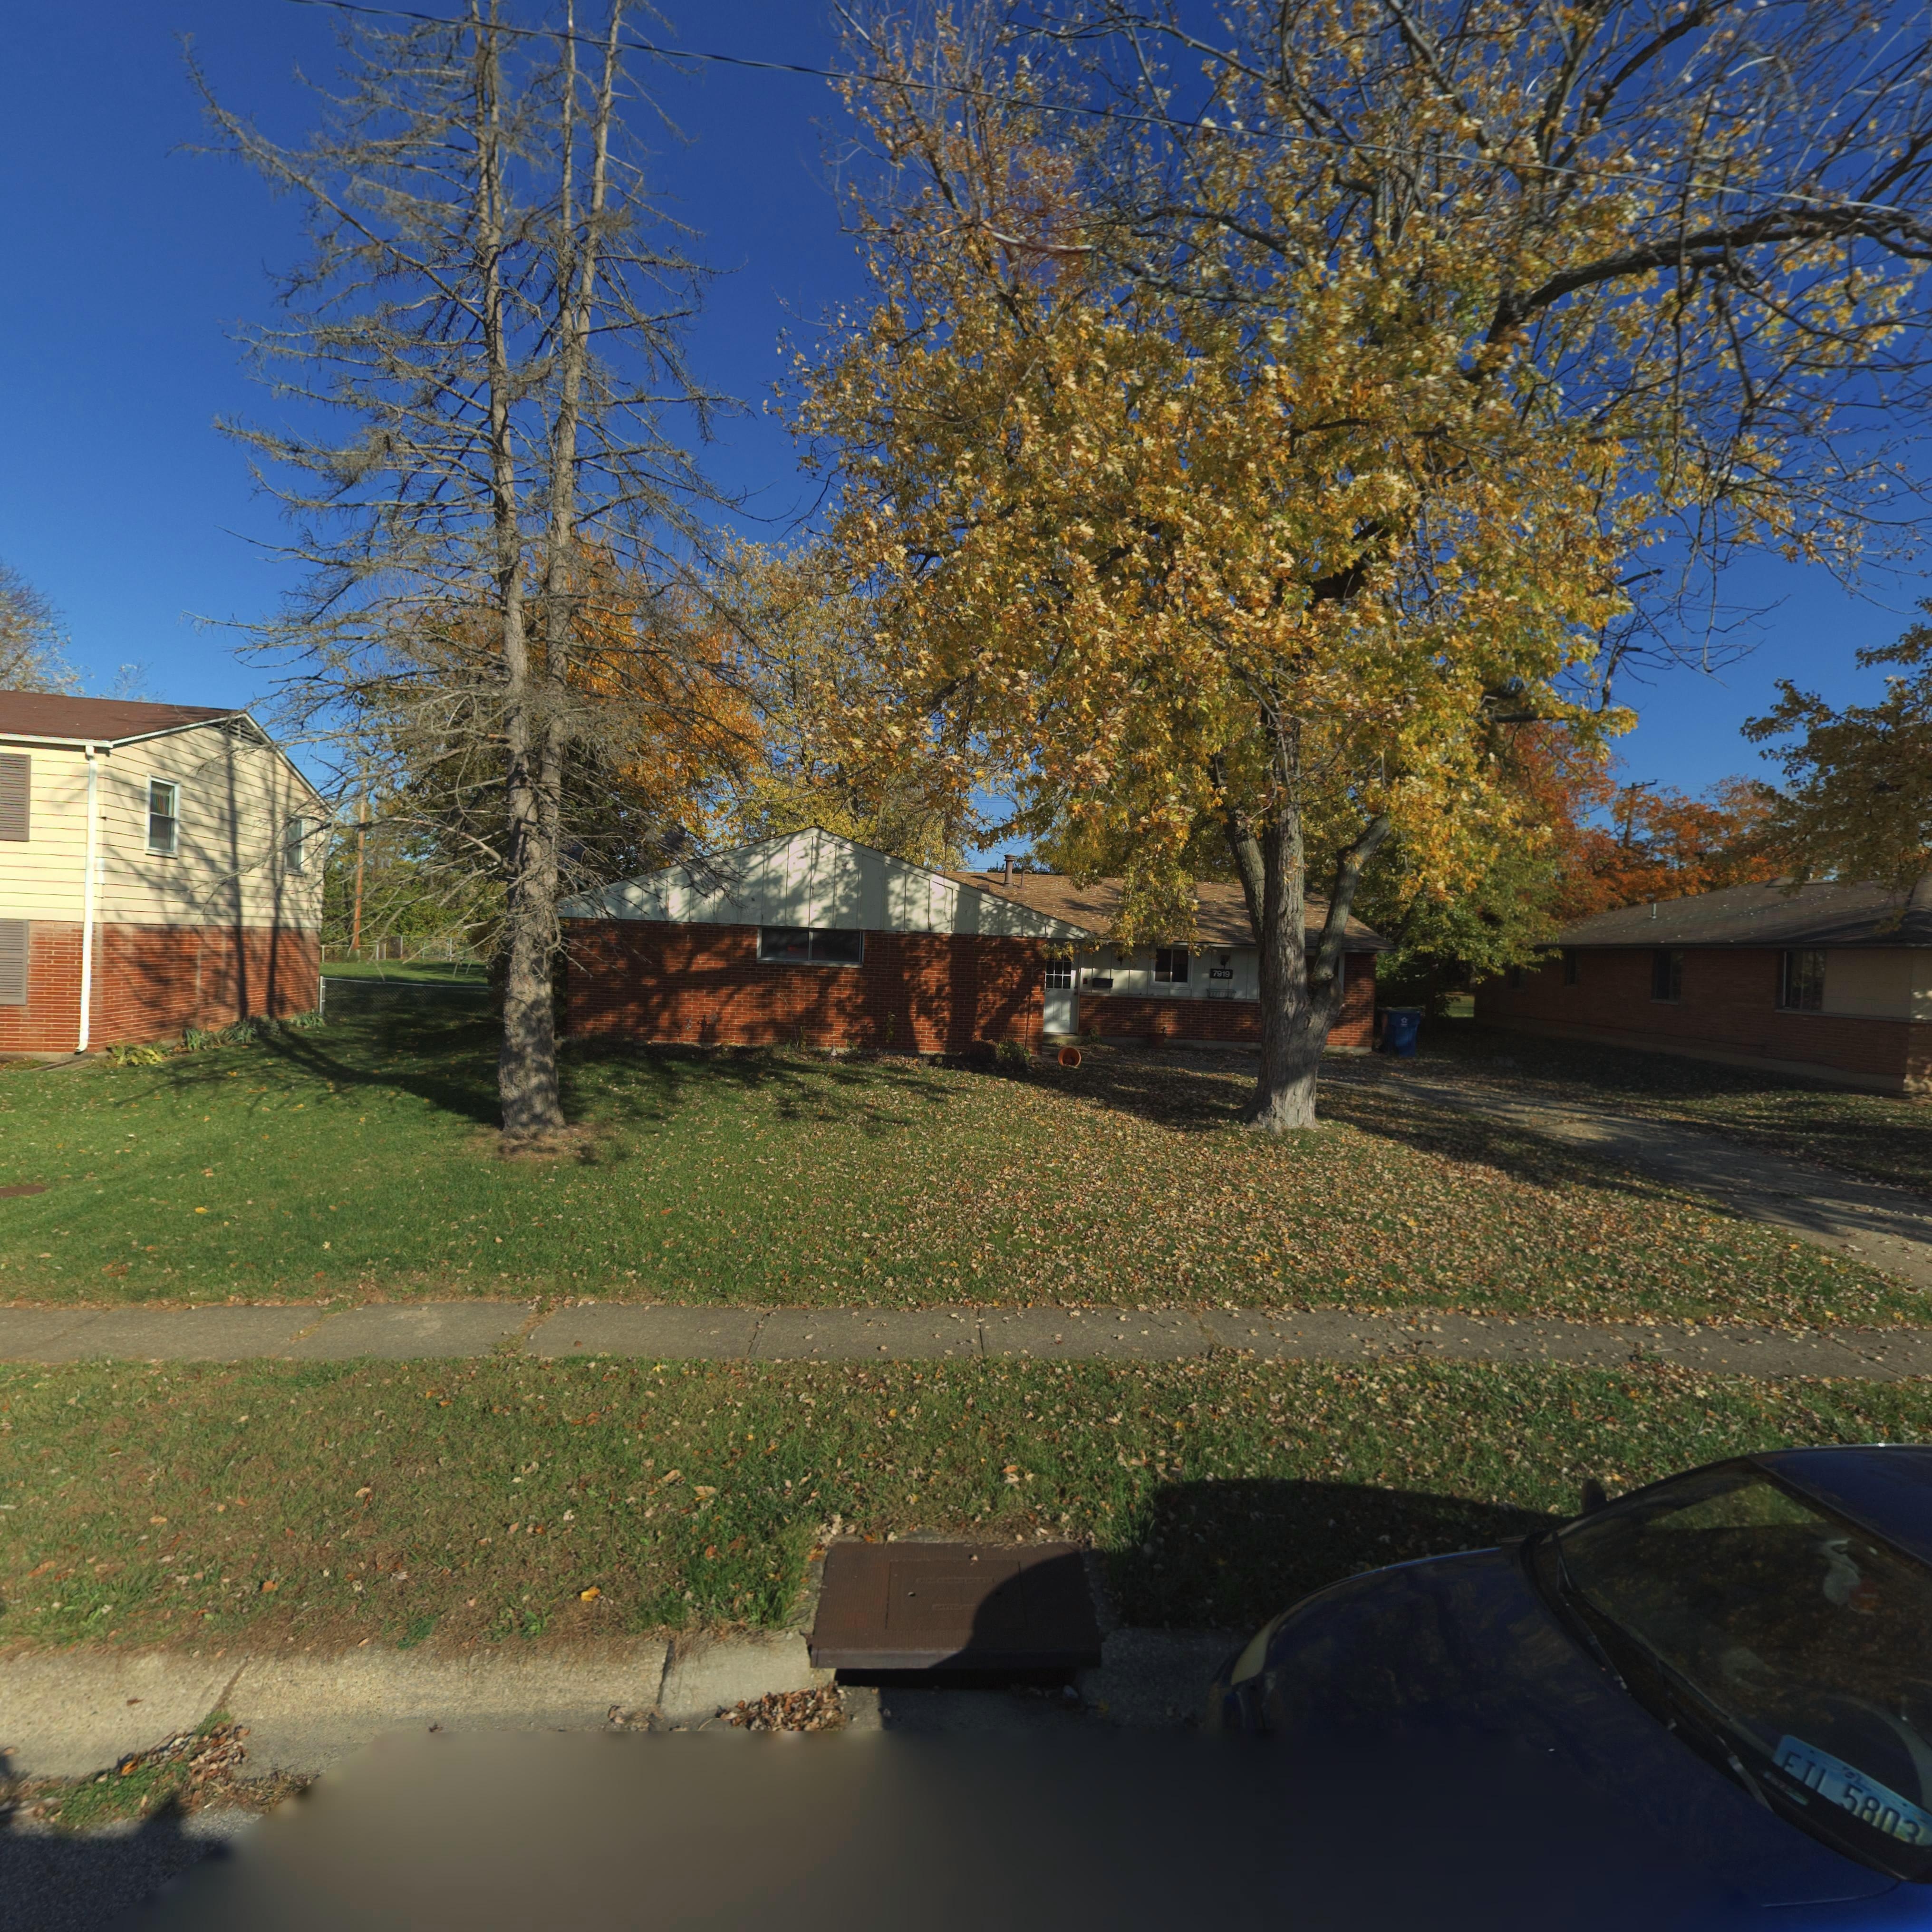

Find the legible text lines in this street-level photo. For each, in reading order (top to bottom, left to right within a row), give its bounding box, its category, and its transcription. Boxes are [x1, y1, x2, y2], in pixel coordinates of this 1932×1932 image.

[1212, 969, 1231, 978] StreetNumber: 7919